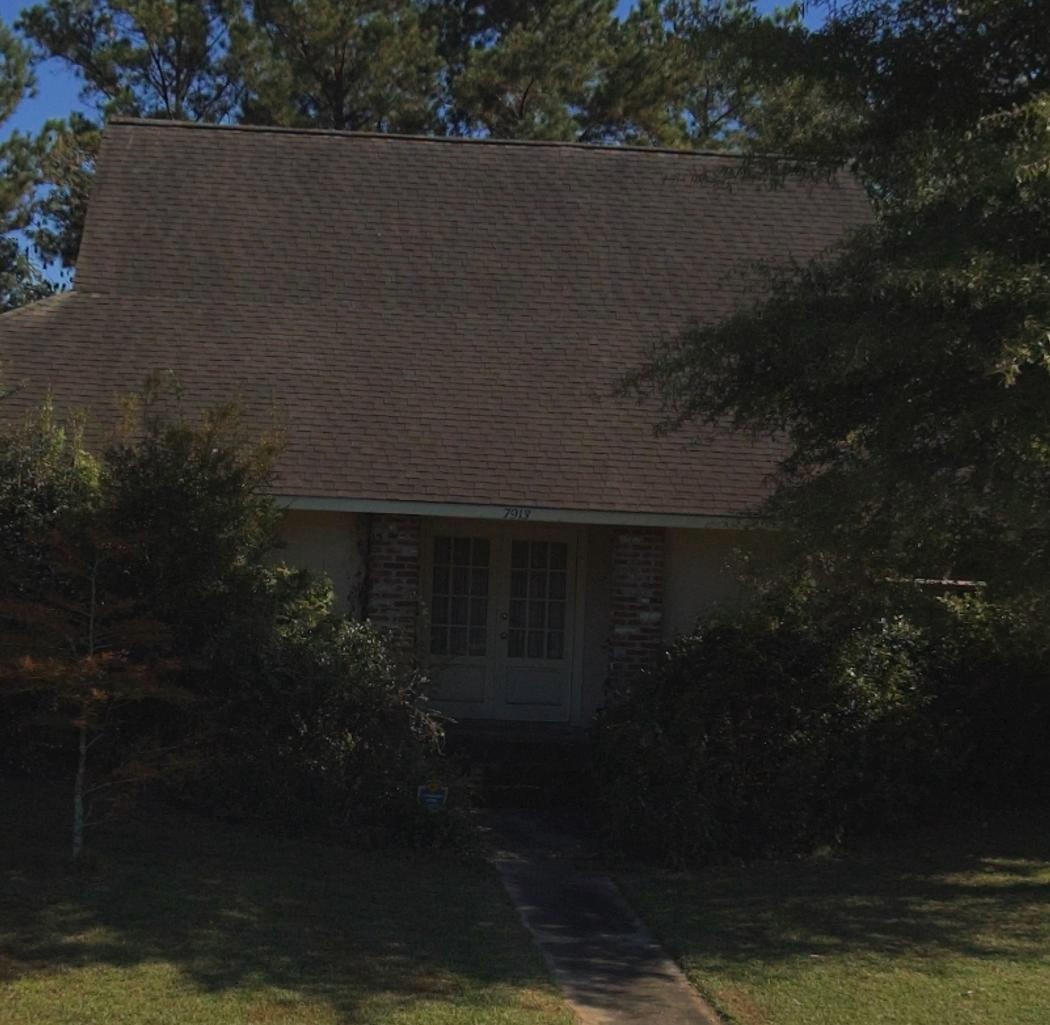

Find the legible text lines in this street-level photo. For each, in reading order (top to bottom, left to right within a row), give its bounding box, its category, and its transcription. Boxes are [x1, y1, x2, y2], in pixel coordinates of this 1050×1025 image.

[502, 508, 532, 520] StreetNumber: 7913